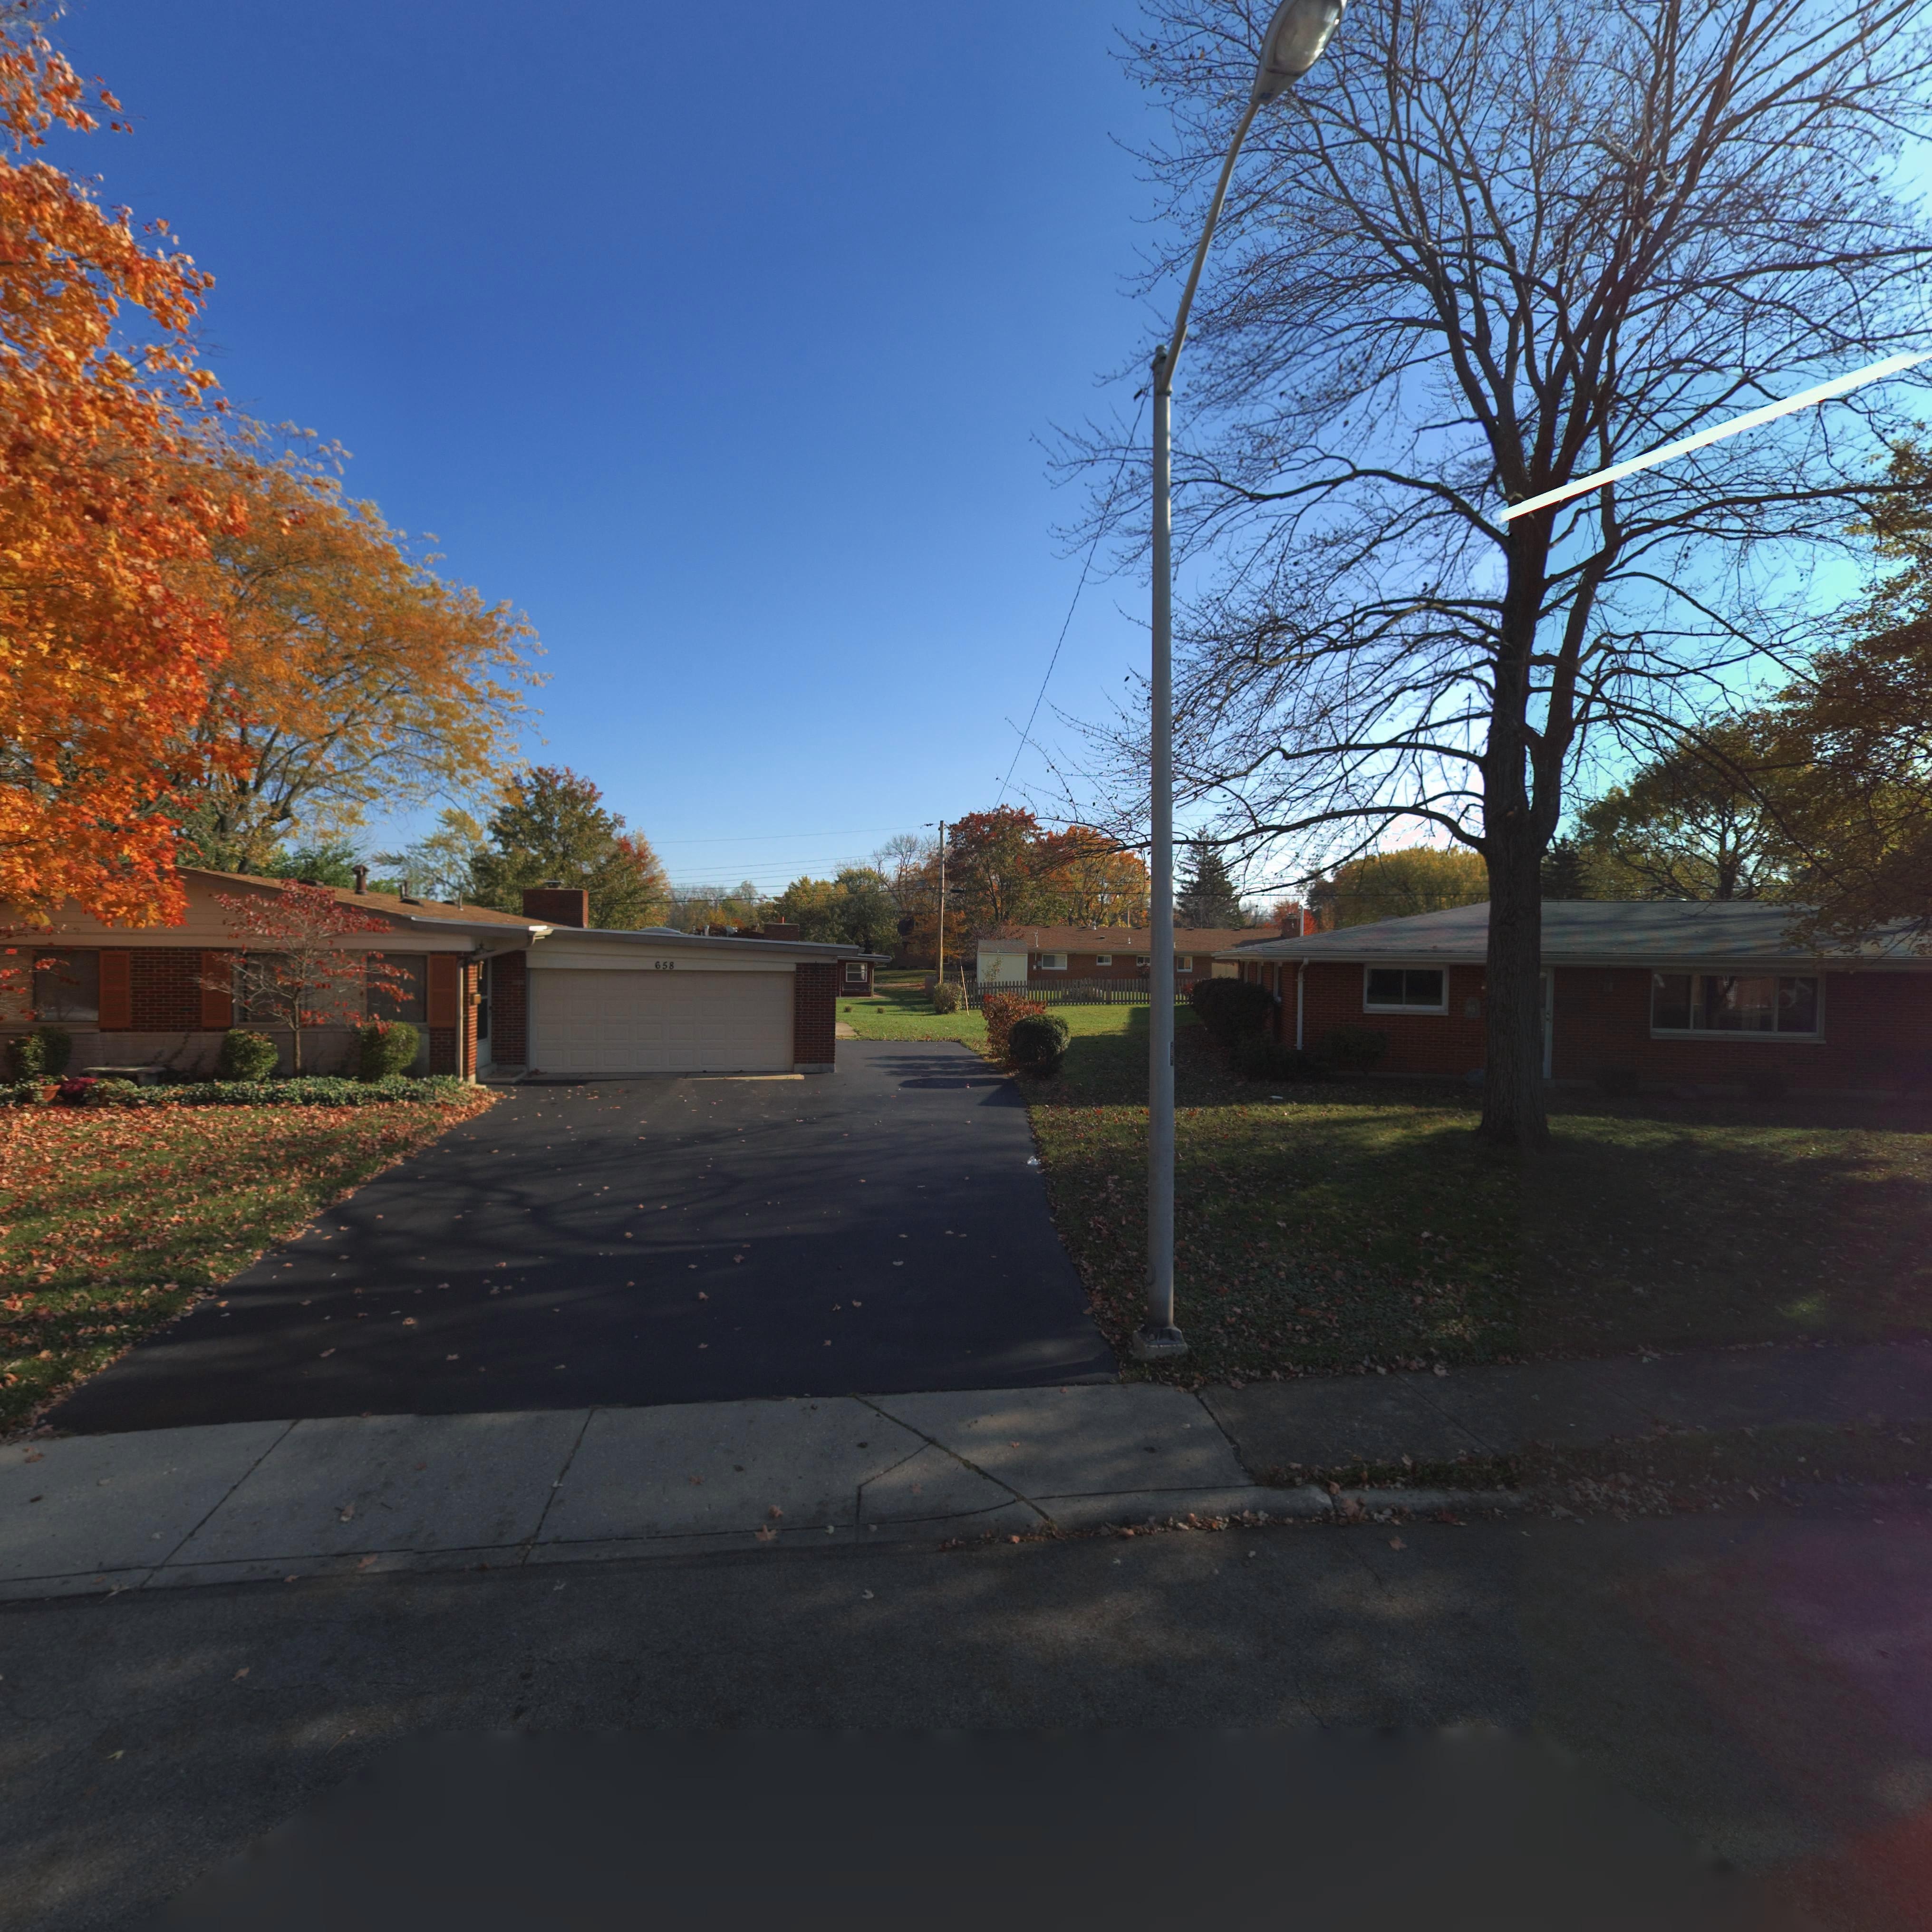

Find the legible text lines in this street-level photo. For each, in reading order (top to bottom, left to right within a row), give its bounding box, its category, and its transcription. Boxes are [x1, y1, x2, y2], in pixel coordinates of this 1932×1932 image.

[654, 960, 675, 970] StreetNumber: 658
[1467, 1004, 1479, 1013] StreetNumber: 65*